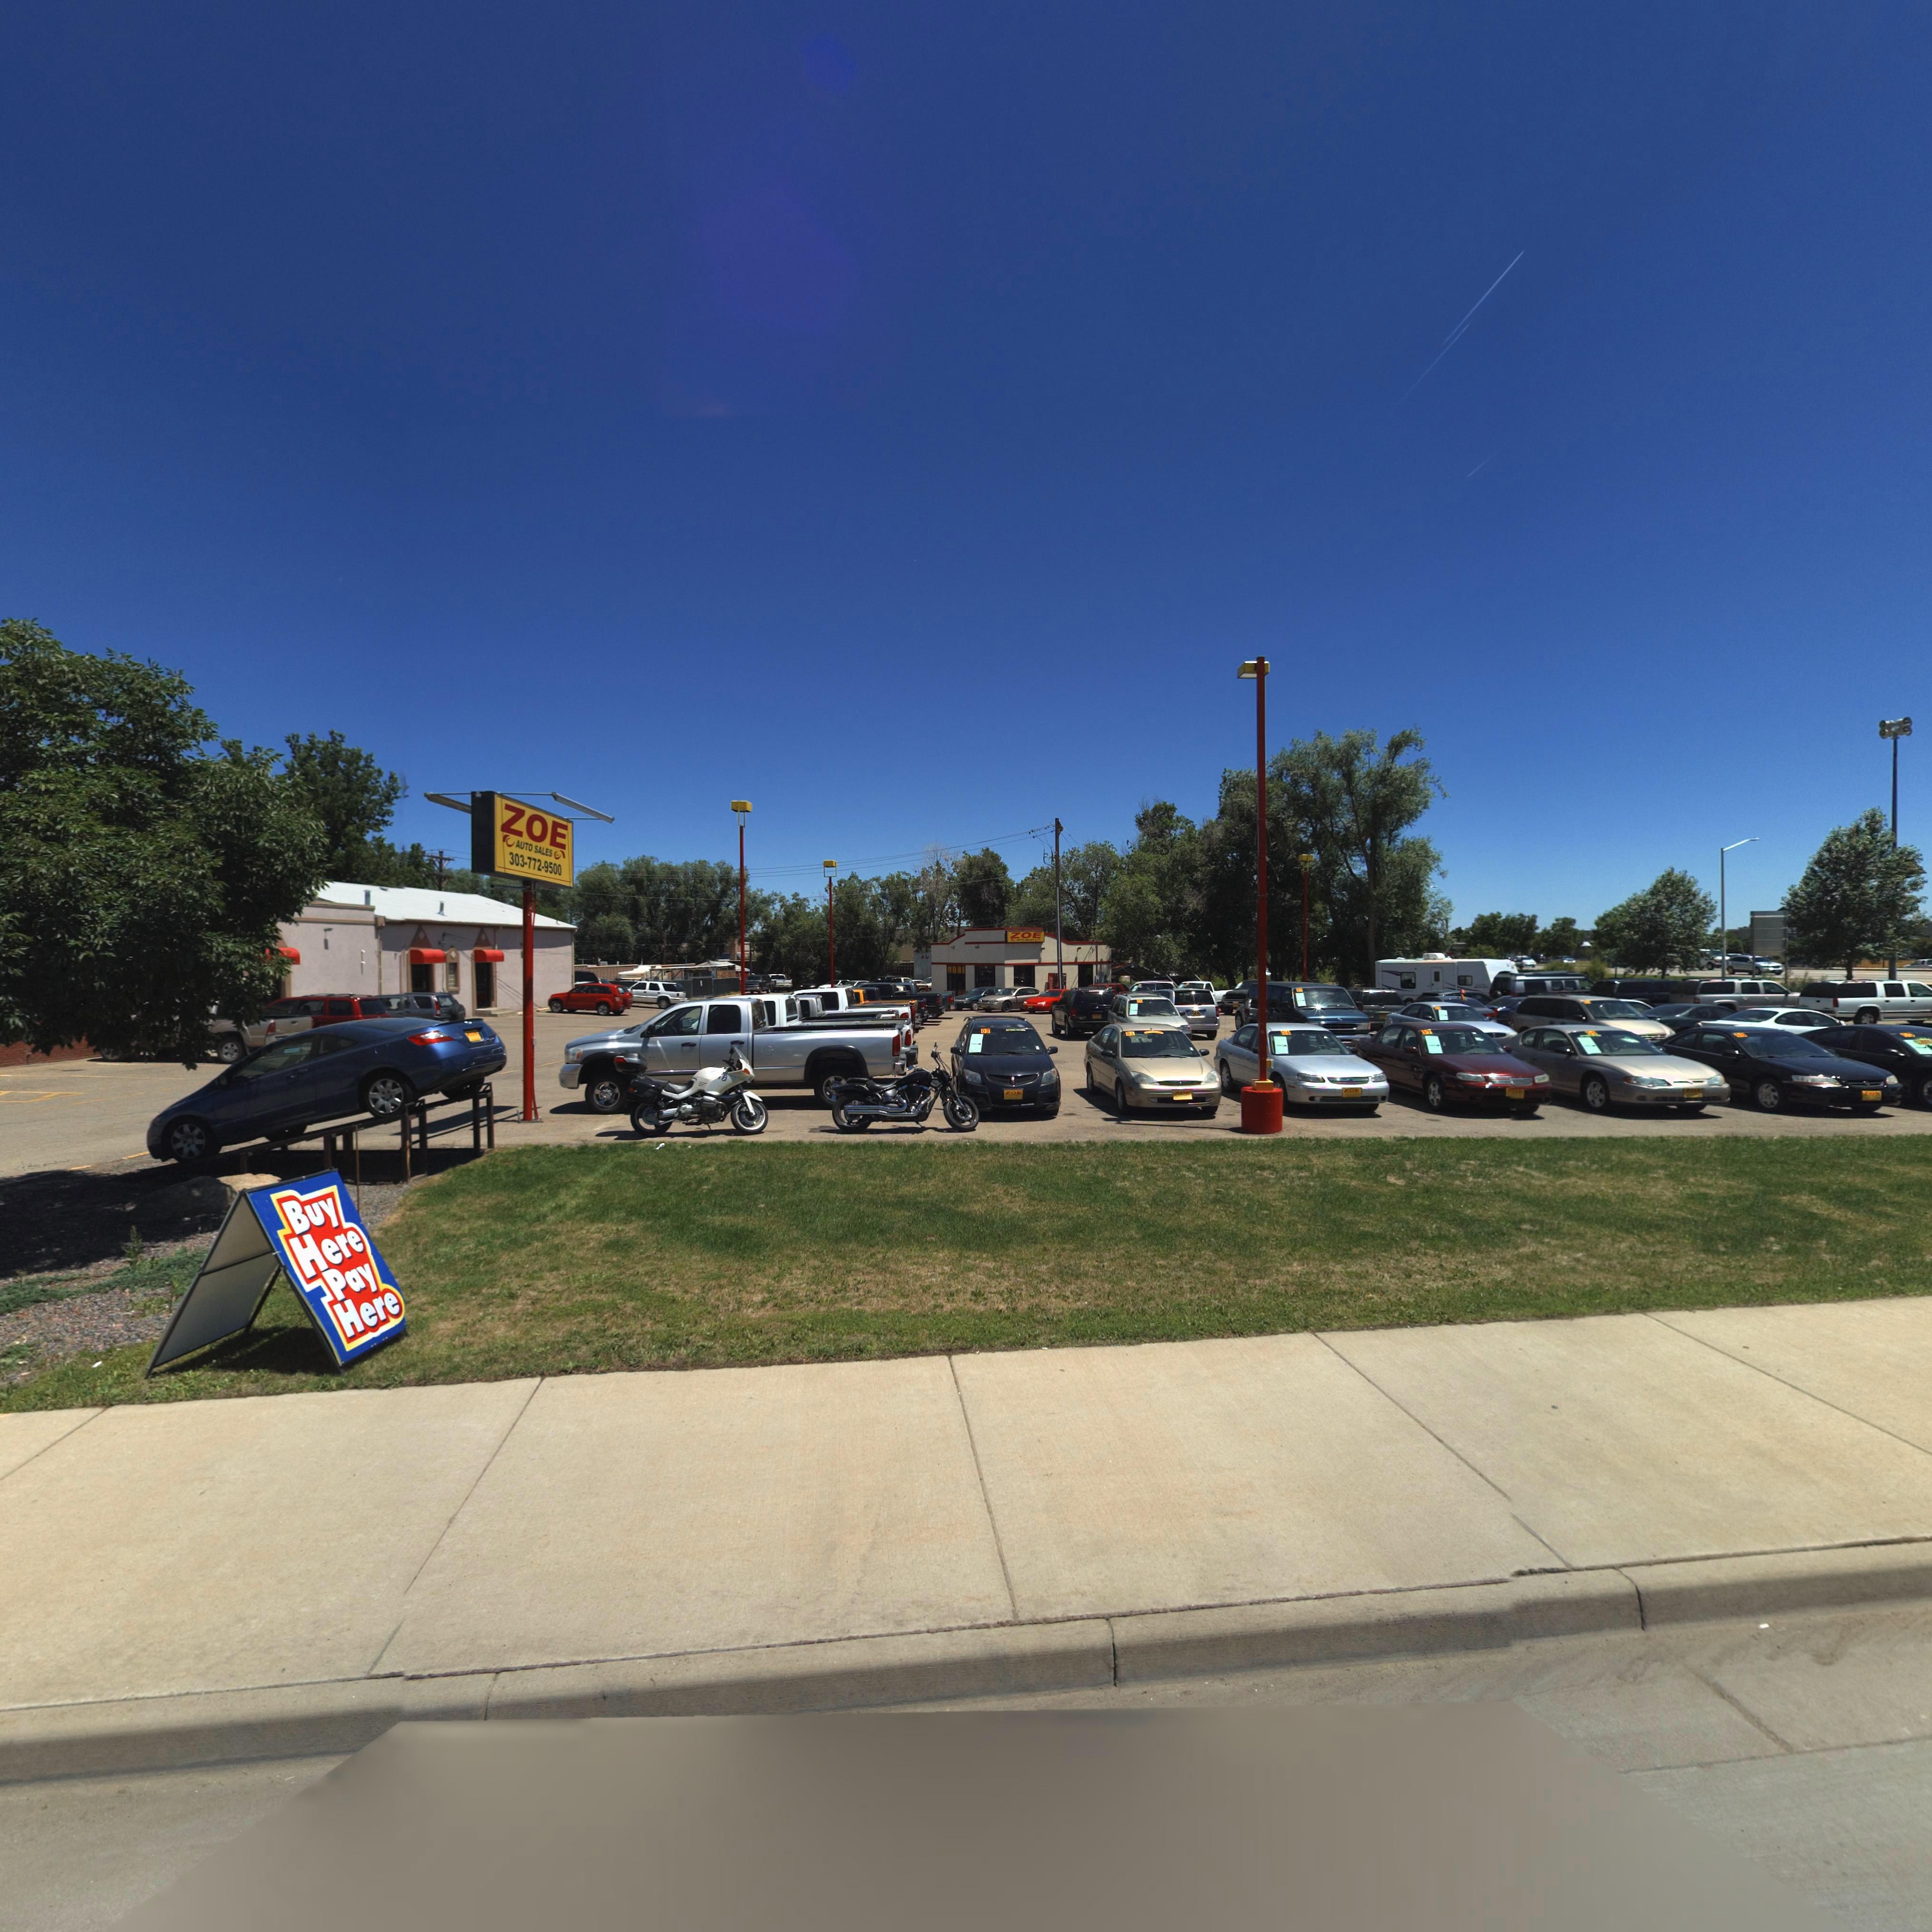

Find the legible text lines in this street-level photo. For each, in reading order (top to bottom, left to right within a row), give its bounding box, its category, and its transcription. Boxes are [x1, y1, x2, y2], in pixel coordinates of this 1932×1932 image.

[500, 802, 569, 850] BusinessName: ZOE
[514, 839, 553, 858] BusinessName: AUTO SALES
[1015, 938, 1034, 941] BusinessName: **** *ALE*
[1009, 932, 1042, 938] BusinessName: ZOE